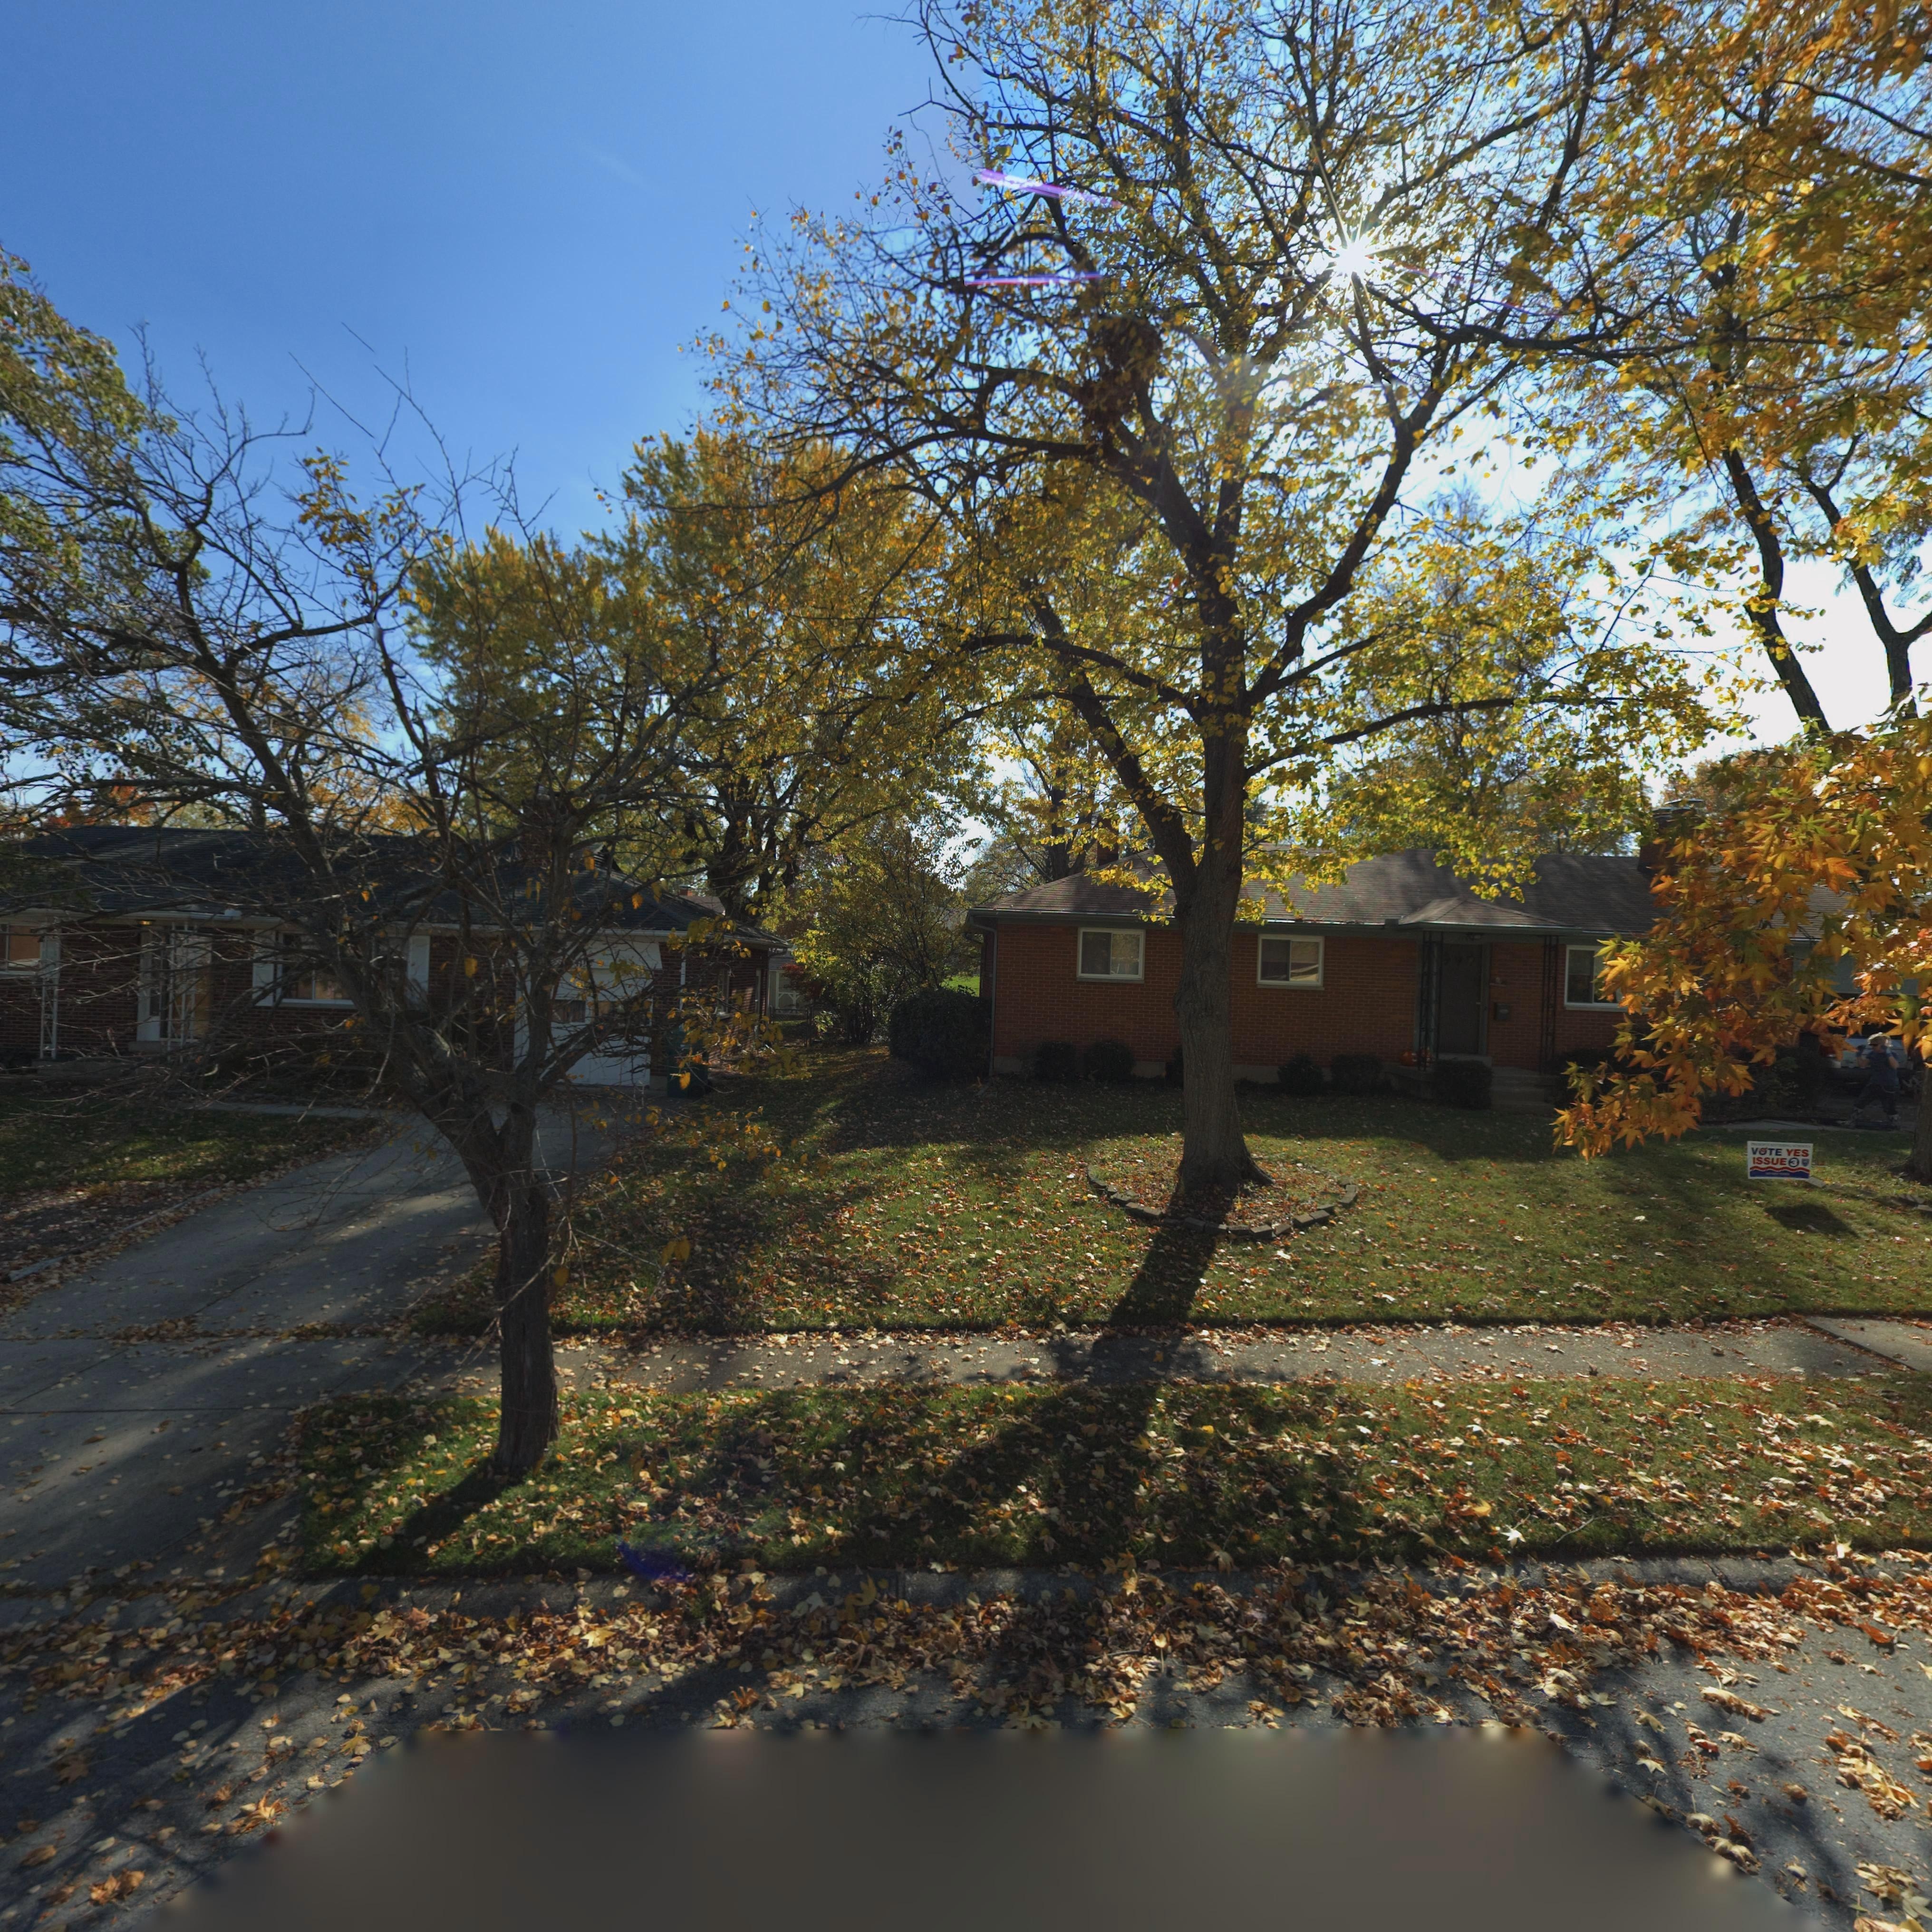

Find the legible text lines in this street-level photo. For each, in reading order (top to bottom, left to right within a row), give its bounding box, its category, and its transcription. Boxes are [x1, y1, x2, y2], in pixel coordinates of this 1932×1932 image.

[1456, 934, 1477, 943] StreetNumber: 11**